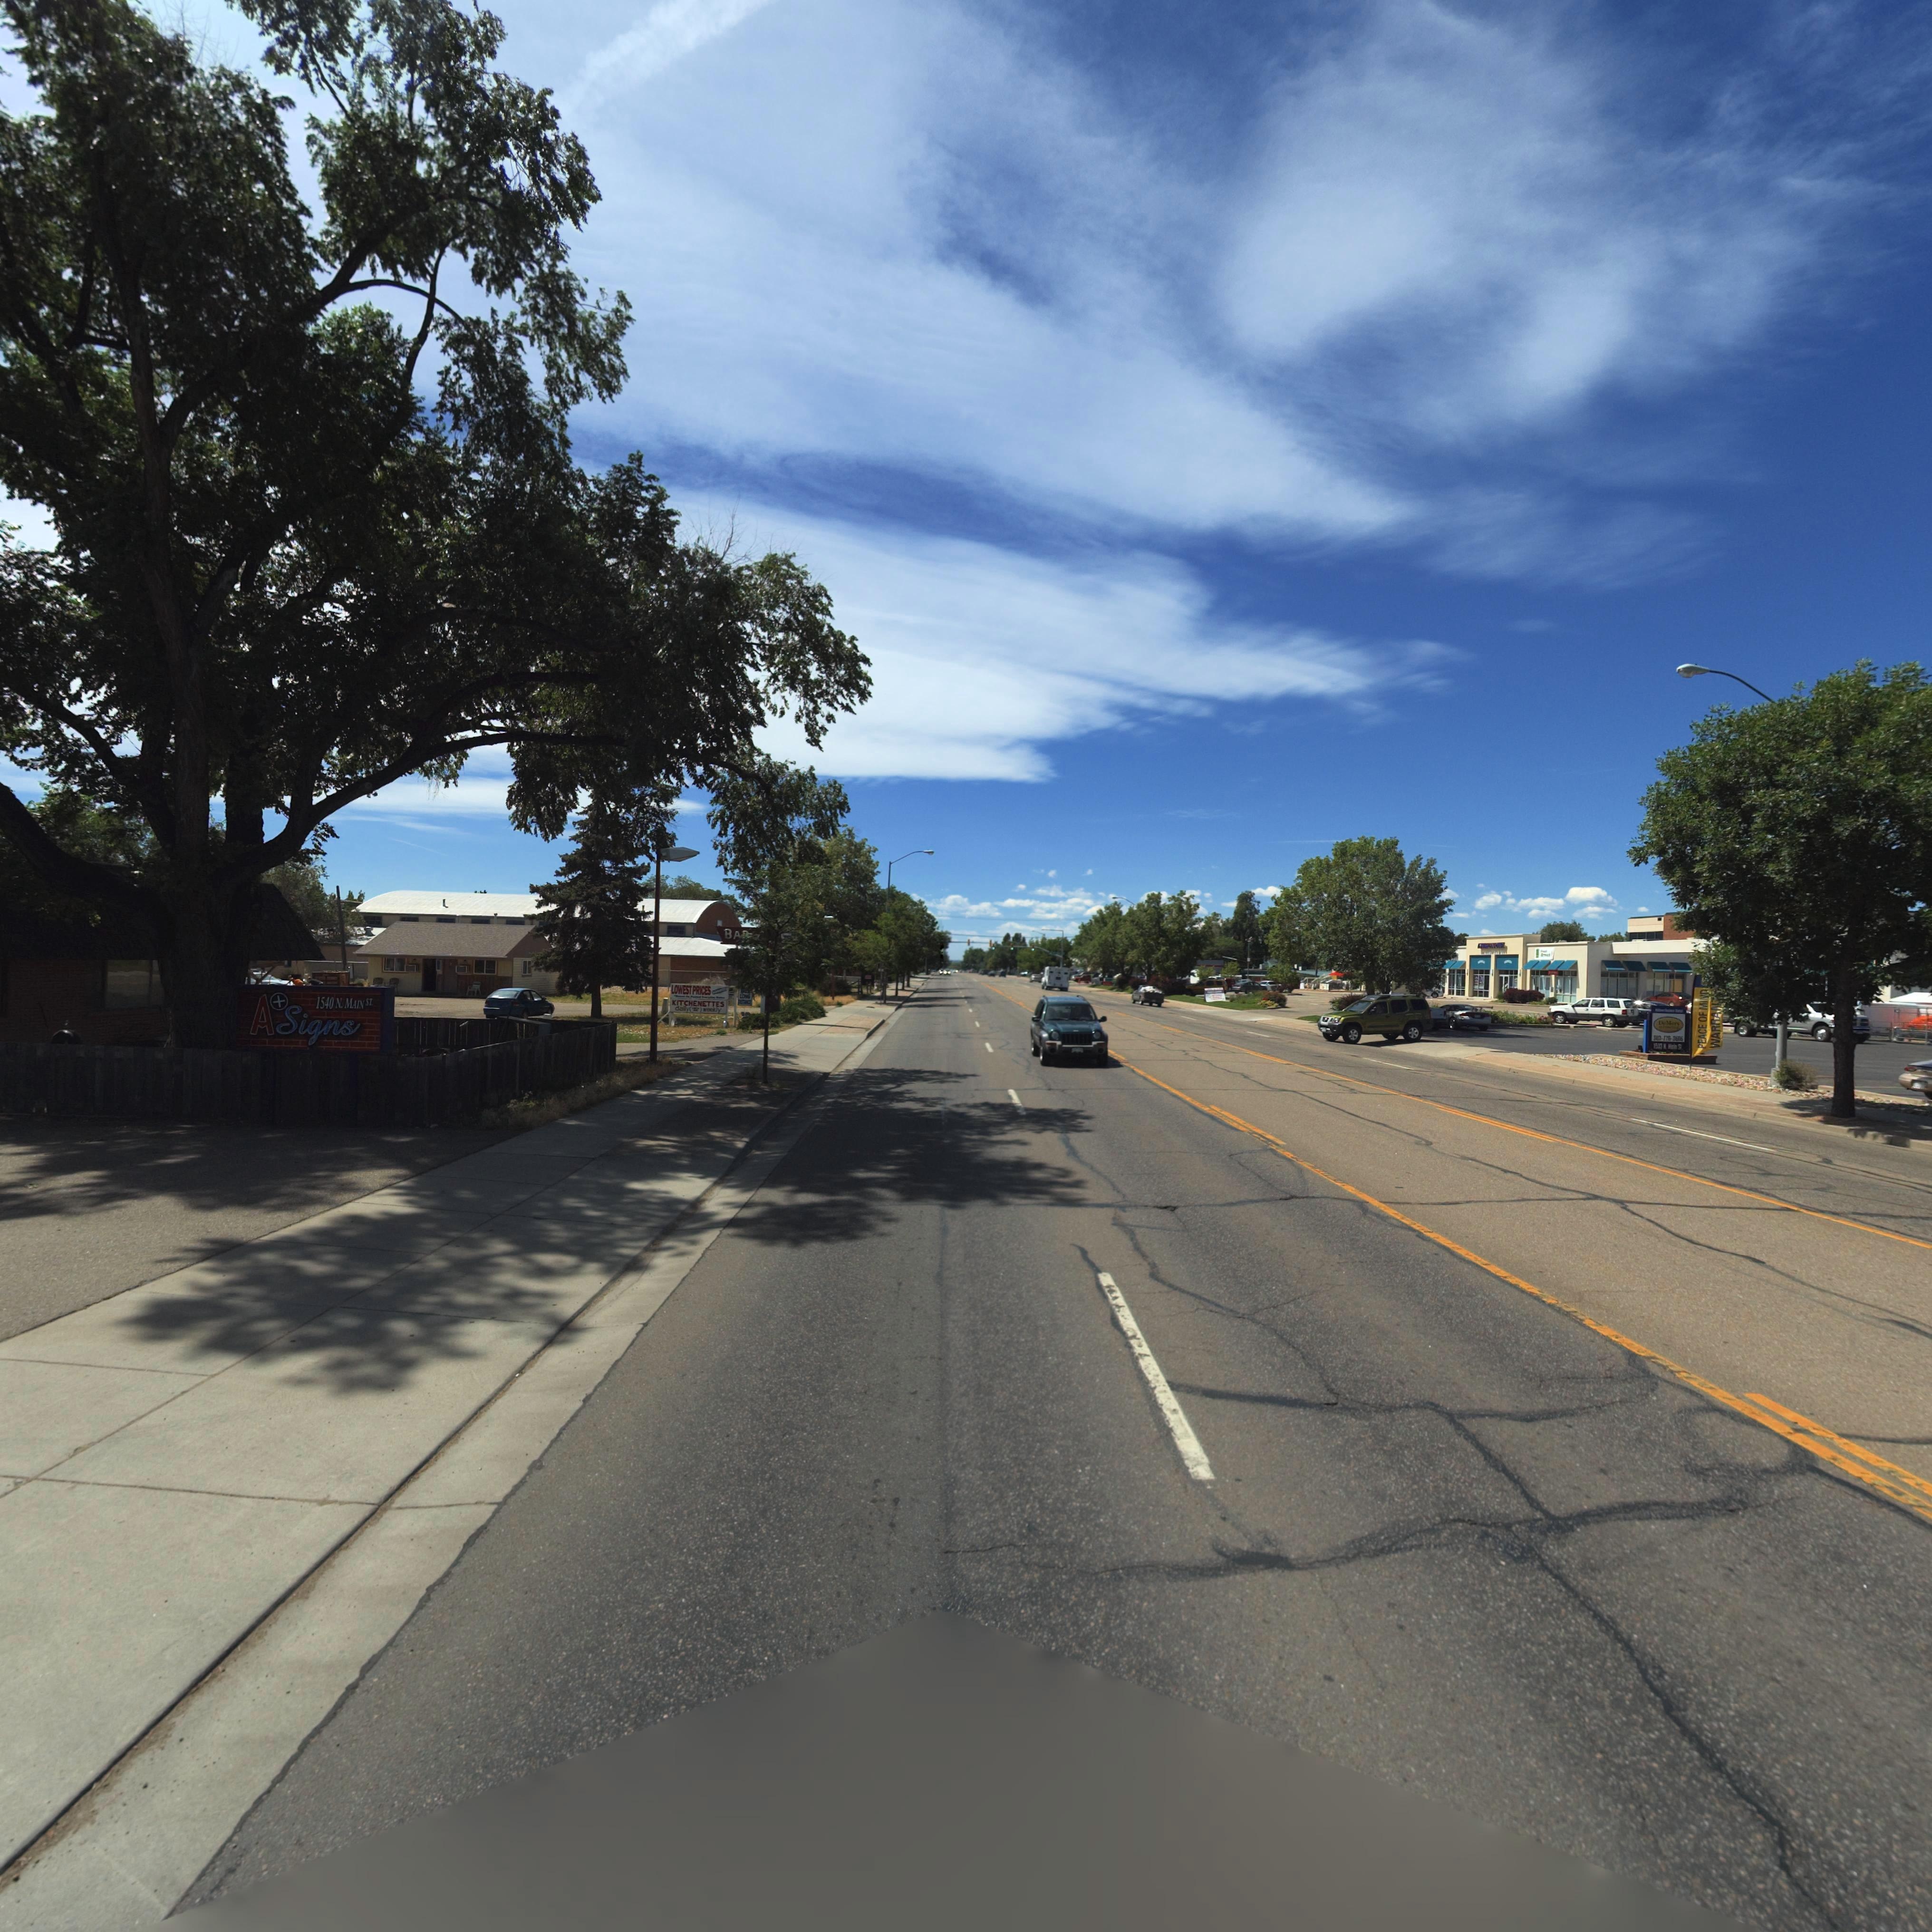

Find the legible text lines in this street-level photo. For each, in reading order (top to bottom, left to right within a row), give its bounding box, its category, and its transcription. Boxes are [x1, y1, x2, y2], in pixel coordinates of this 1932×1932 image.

[1477, 942, 1505, 948] BusinessName: ****UNO**
[316, 996, 335, 1009] StreetNumber: 1540
[335, 998, 373, 1009] StreetName: N. MAIN ST.
[248, 991, 363, 1047] BusinessName: A*Signs
[1658, 1020, 1680, 1026] BusinessName: D* M*rs
[1653, 1043, 1662, 1049] StreetNumber: 1533
[1663, 1043, 1681, 1050] StreetName: N. M*in S*